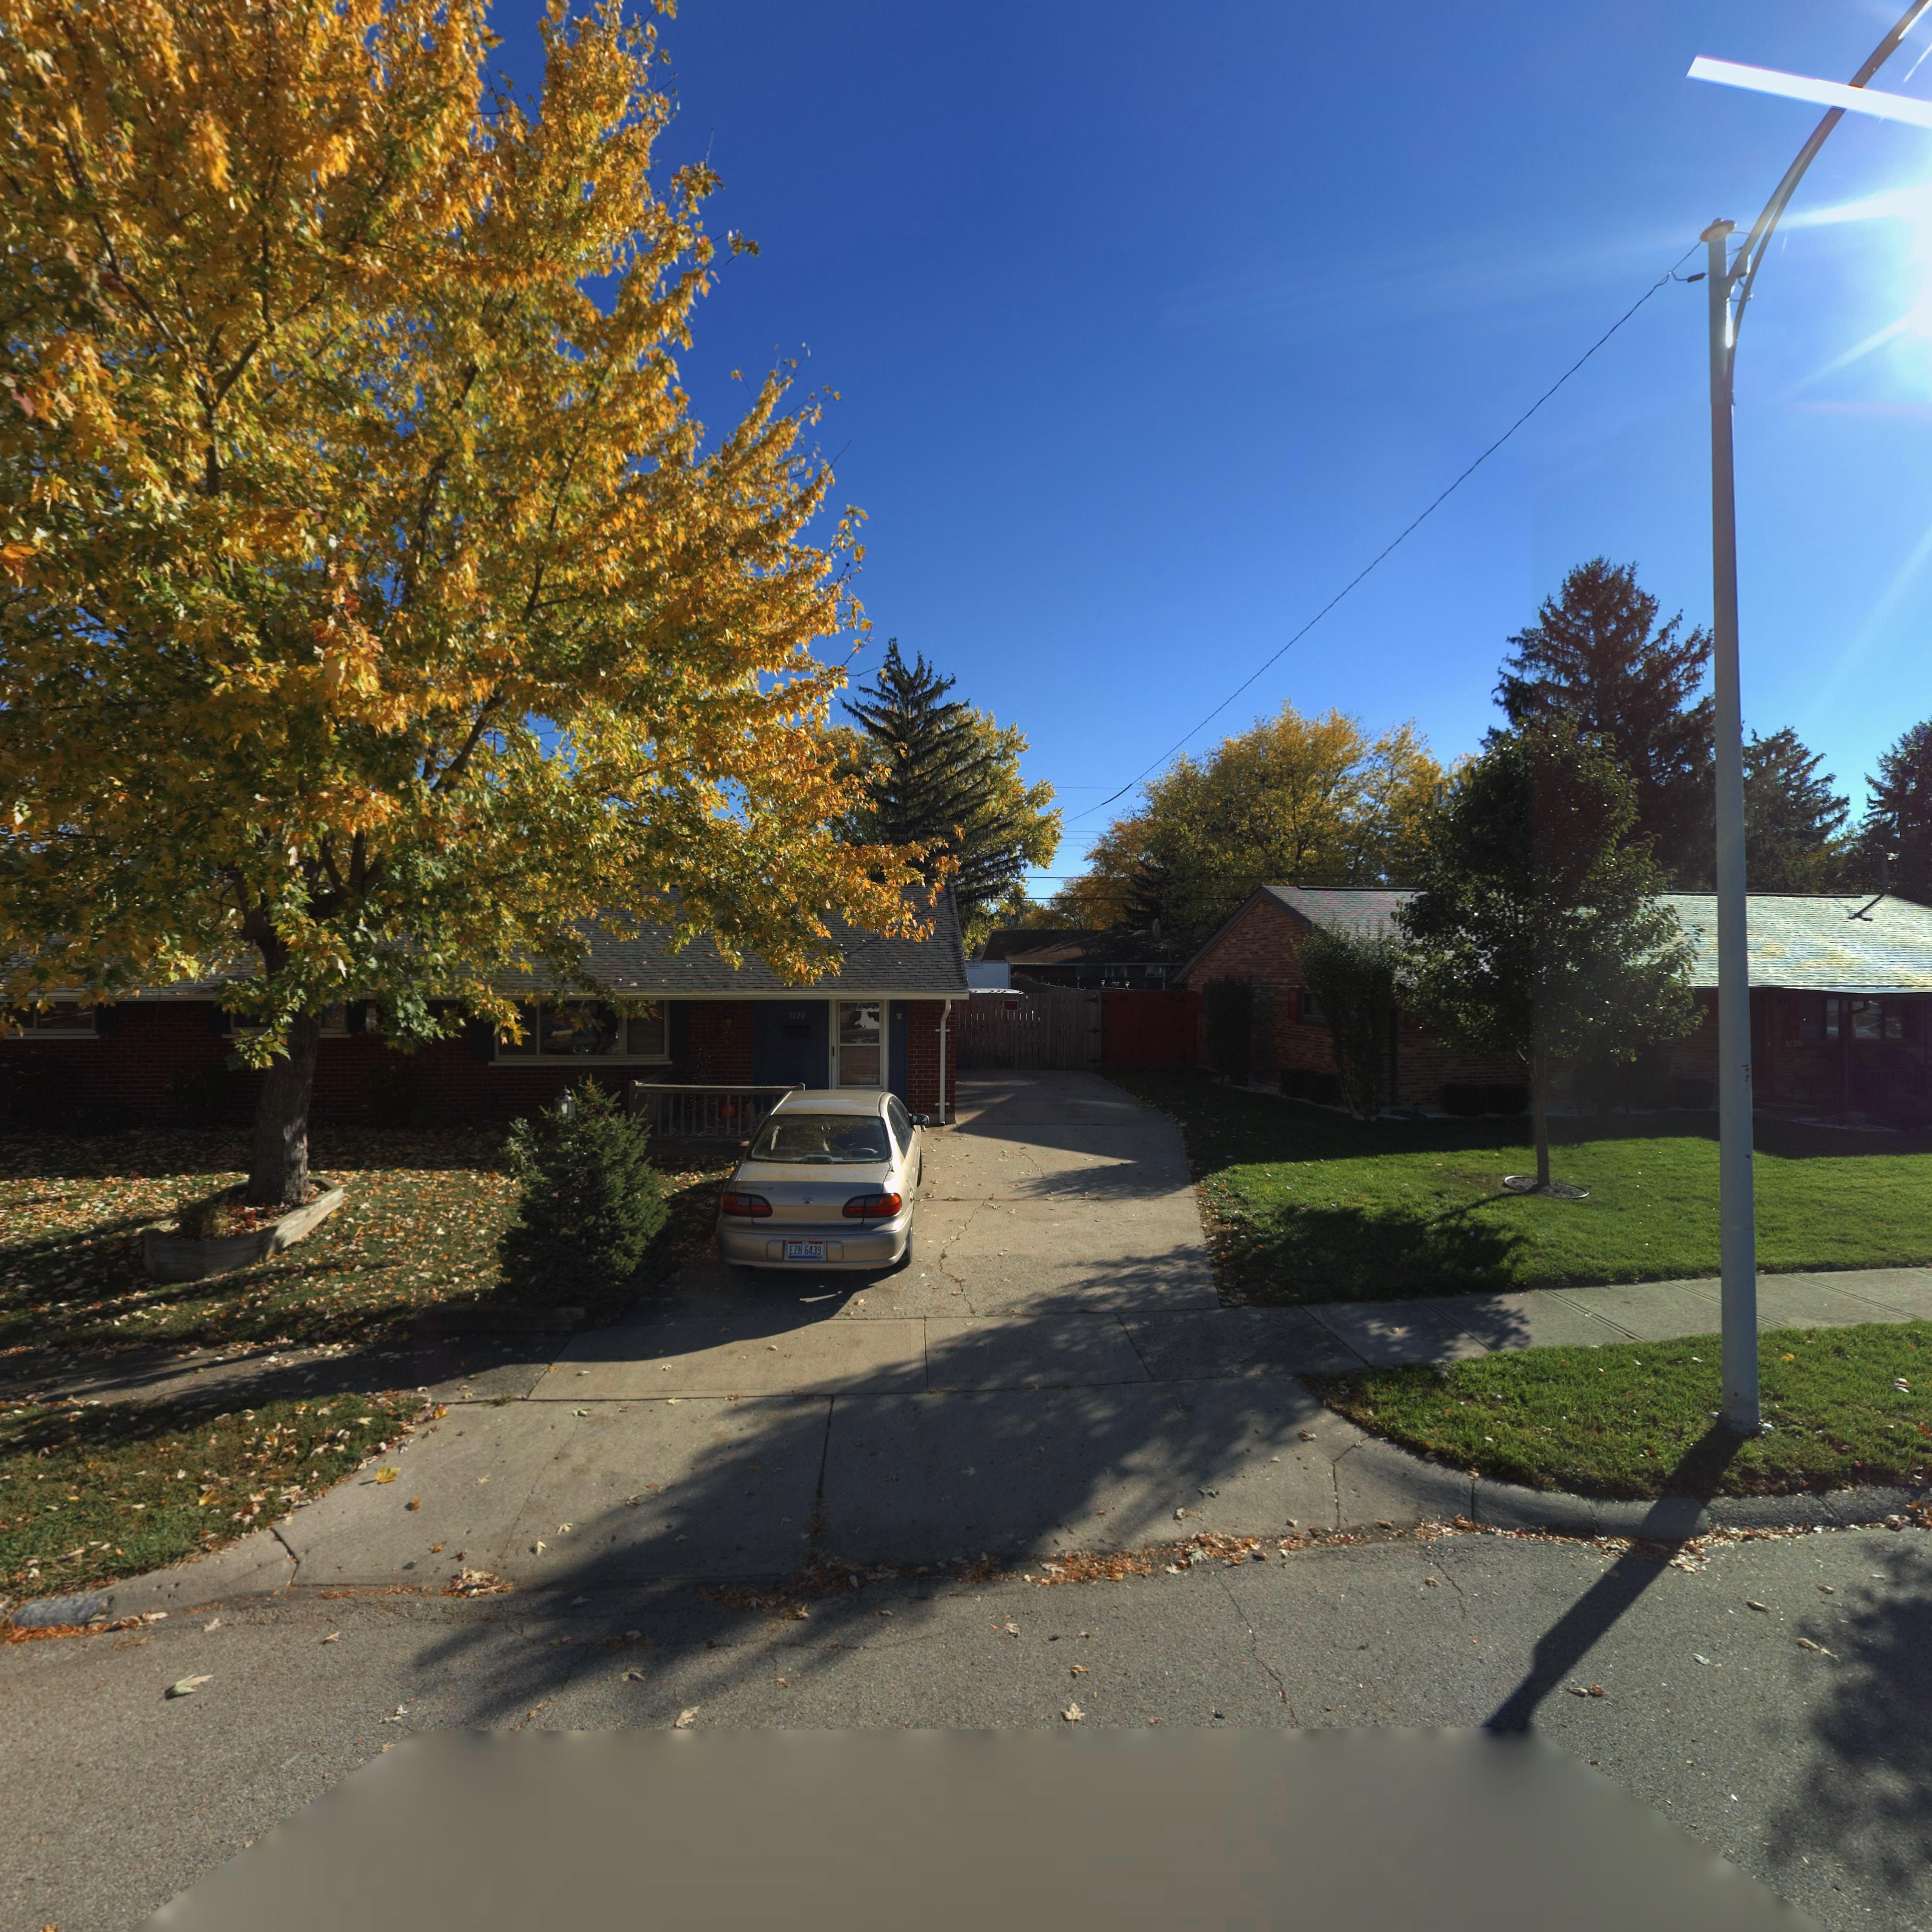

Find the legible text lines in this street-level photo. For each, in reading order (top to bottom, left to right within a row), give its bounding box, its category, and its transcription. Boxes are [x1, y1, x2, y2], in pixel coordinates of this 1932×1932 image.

[788, 1011, 806, 1020] StreetNumber: 5120